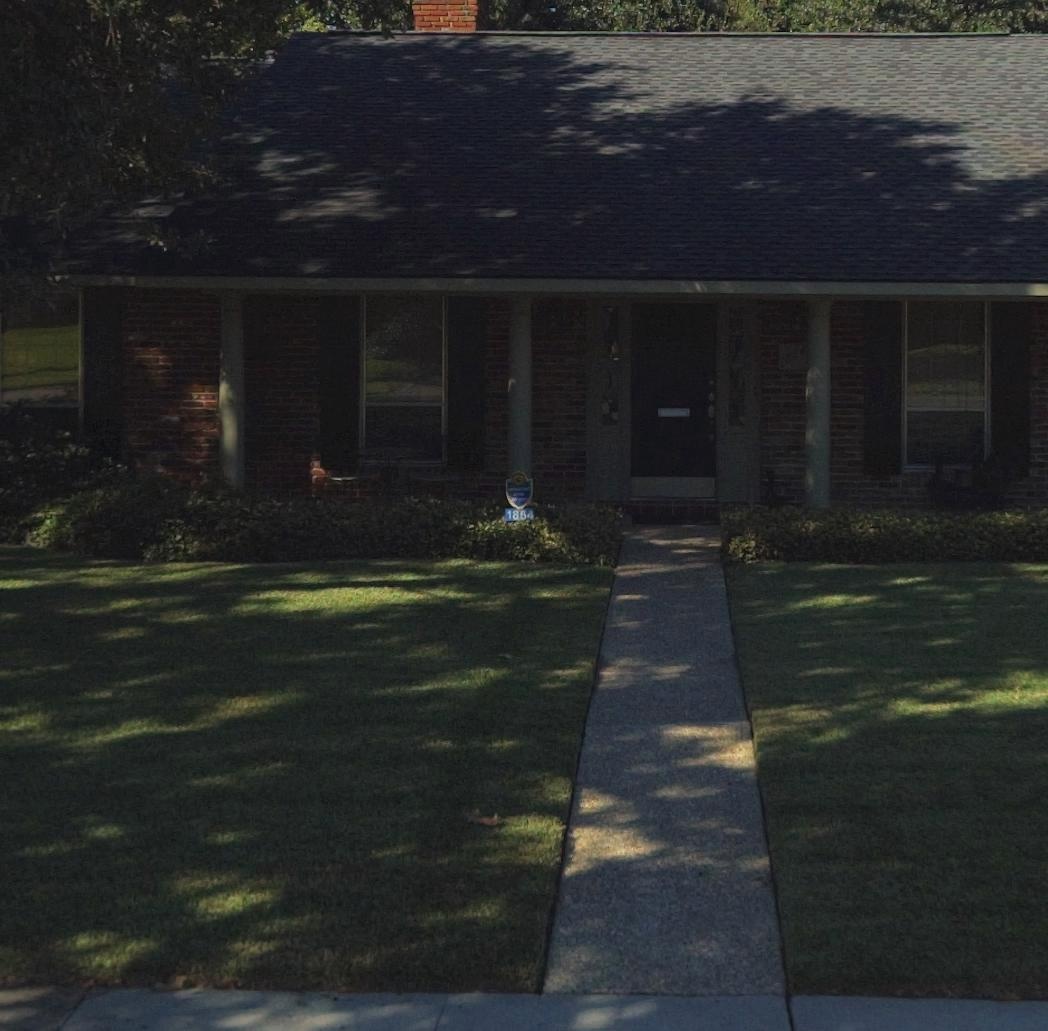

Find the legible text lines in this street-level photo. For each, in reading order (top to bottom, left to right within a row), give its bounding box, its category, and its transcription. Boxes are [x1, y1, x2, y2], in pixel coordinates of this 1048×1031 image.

[777, 349, 795, 372] StreetNumber: 18
[505, 508, 536, 522] StreetNumber: 1864